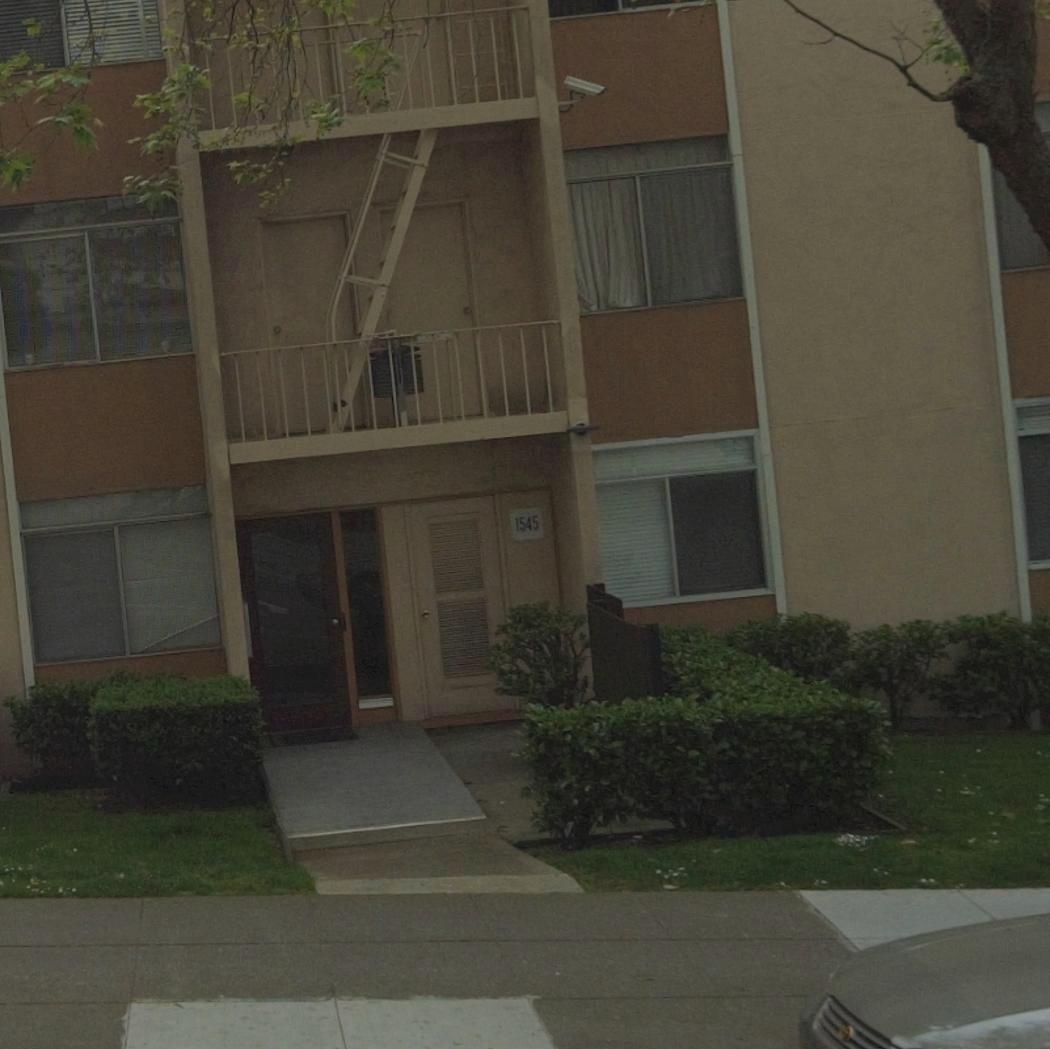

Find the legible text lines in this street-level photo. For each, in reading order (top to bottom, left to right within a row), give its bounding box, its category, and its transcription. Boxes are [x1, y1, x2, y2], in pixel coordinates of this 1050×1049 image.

[513, 513, 542, 534] StreetNumber: 1545